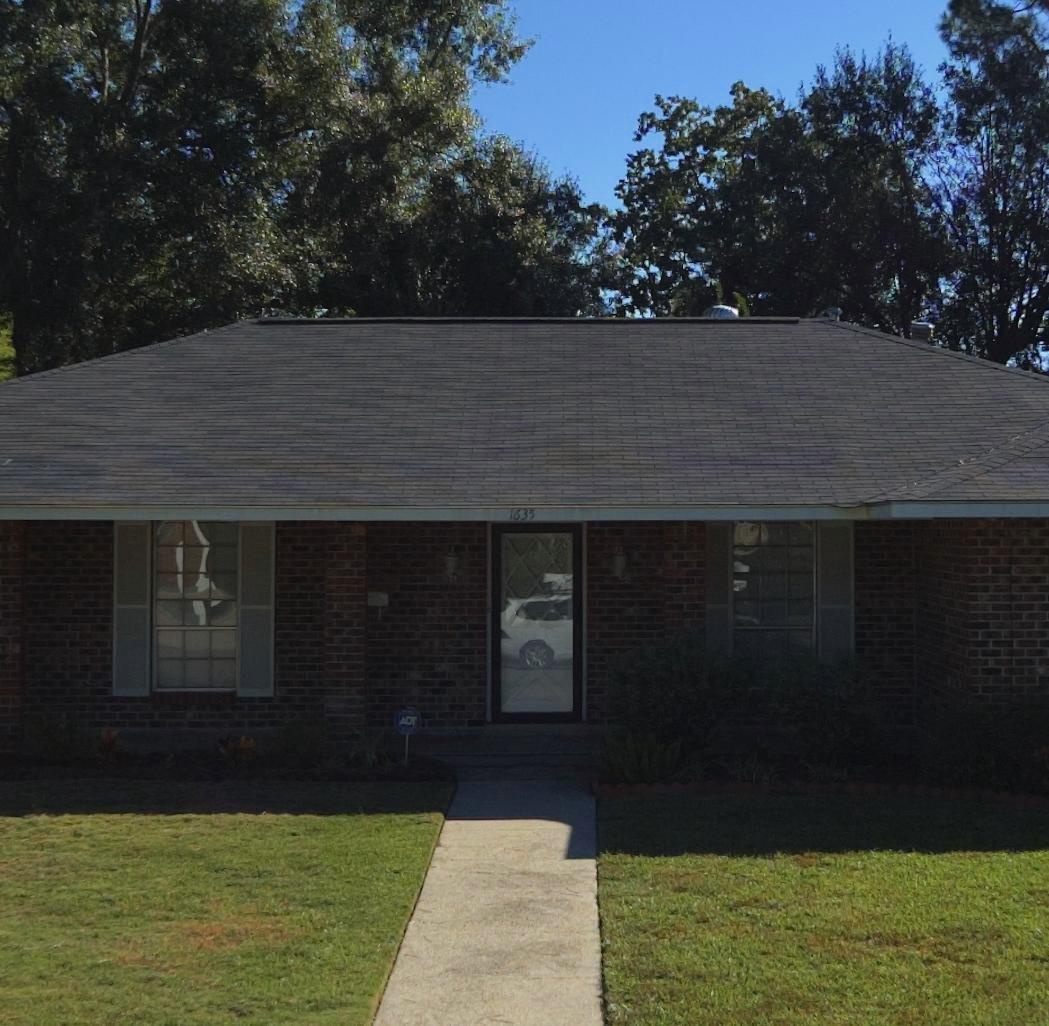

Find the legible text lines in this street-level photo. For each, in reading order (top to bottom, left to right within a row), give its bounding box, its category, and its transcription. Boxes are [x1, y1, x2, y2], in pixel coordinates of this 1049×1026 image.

[507, 506, 537, 523] StreetNumber: 1635
[396, 713, 420, 729] None: ADT